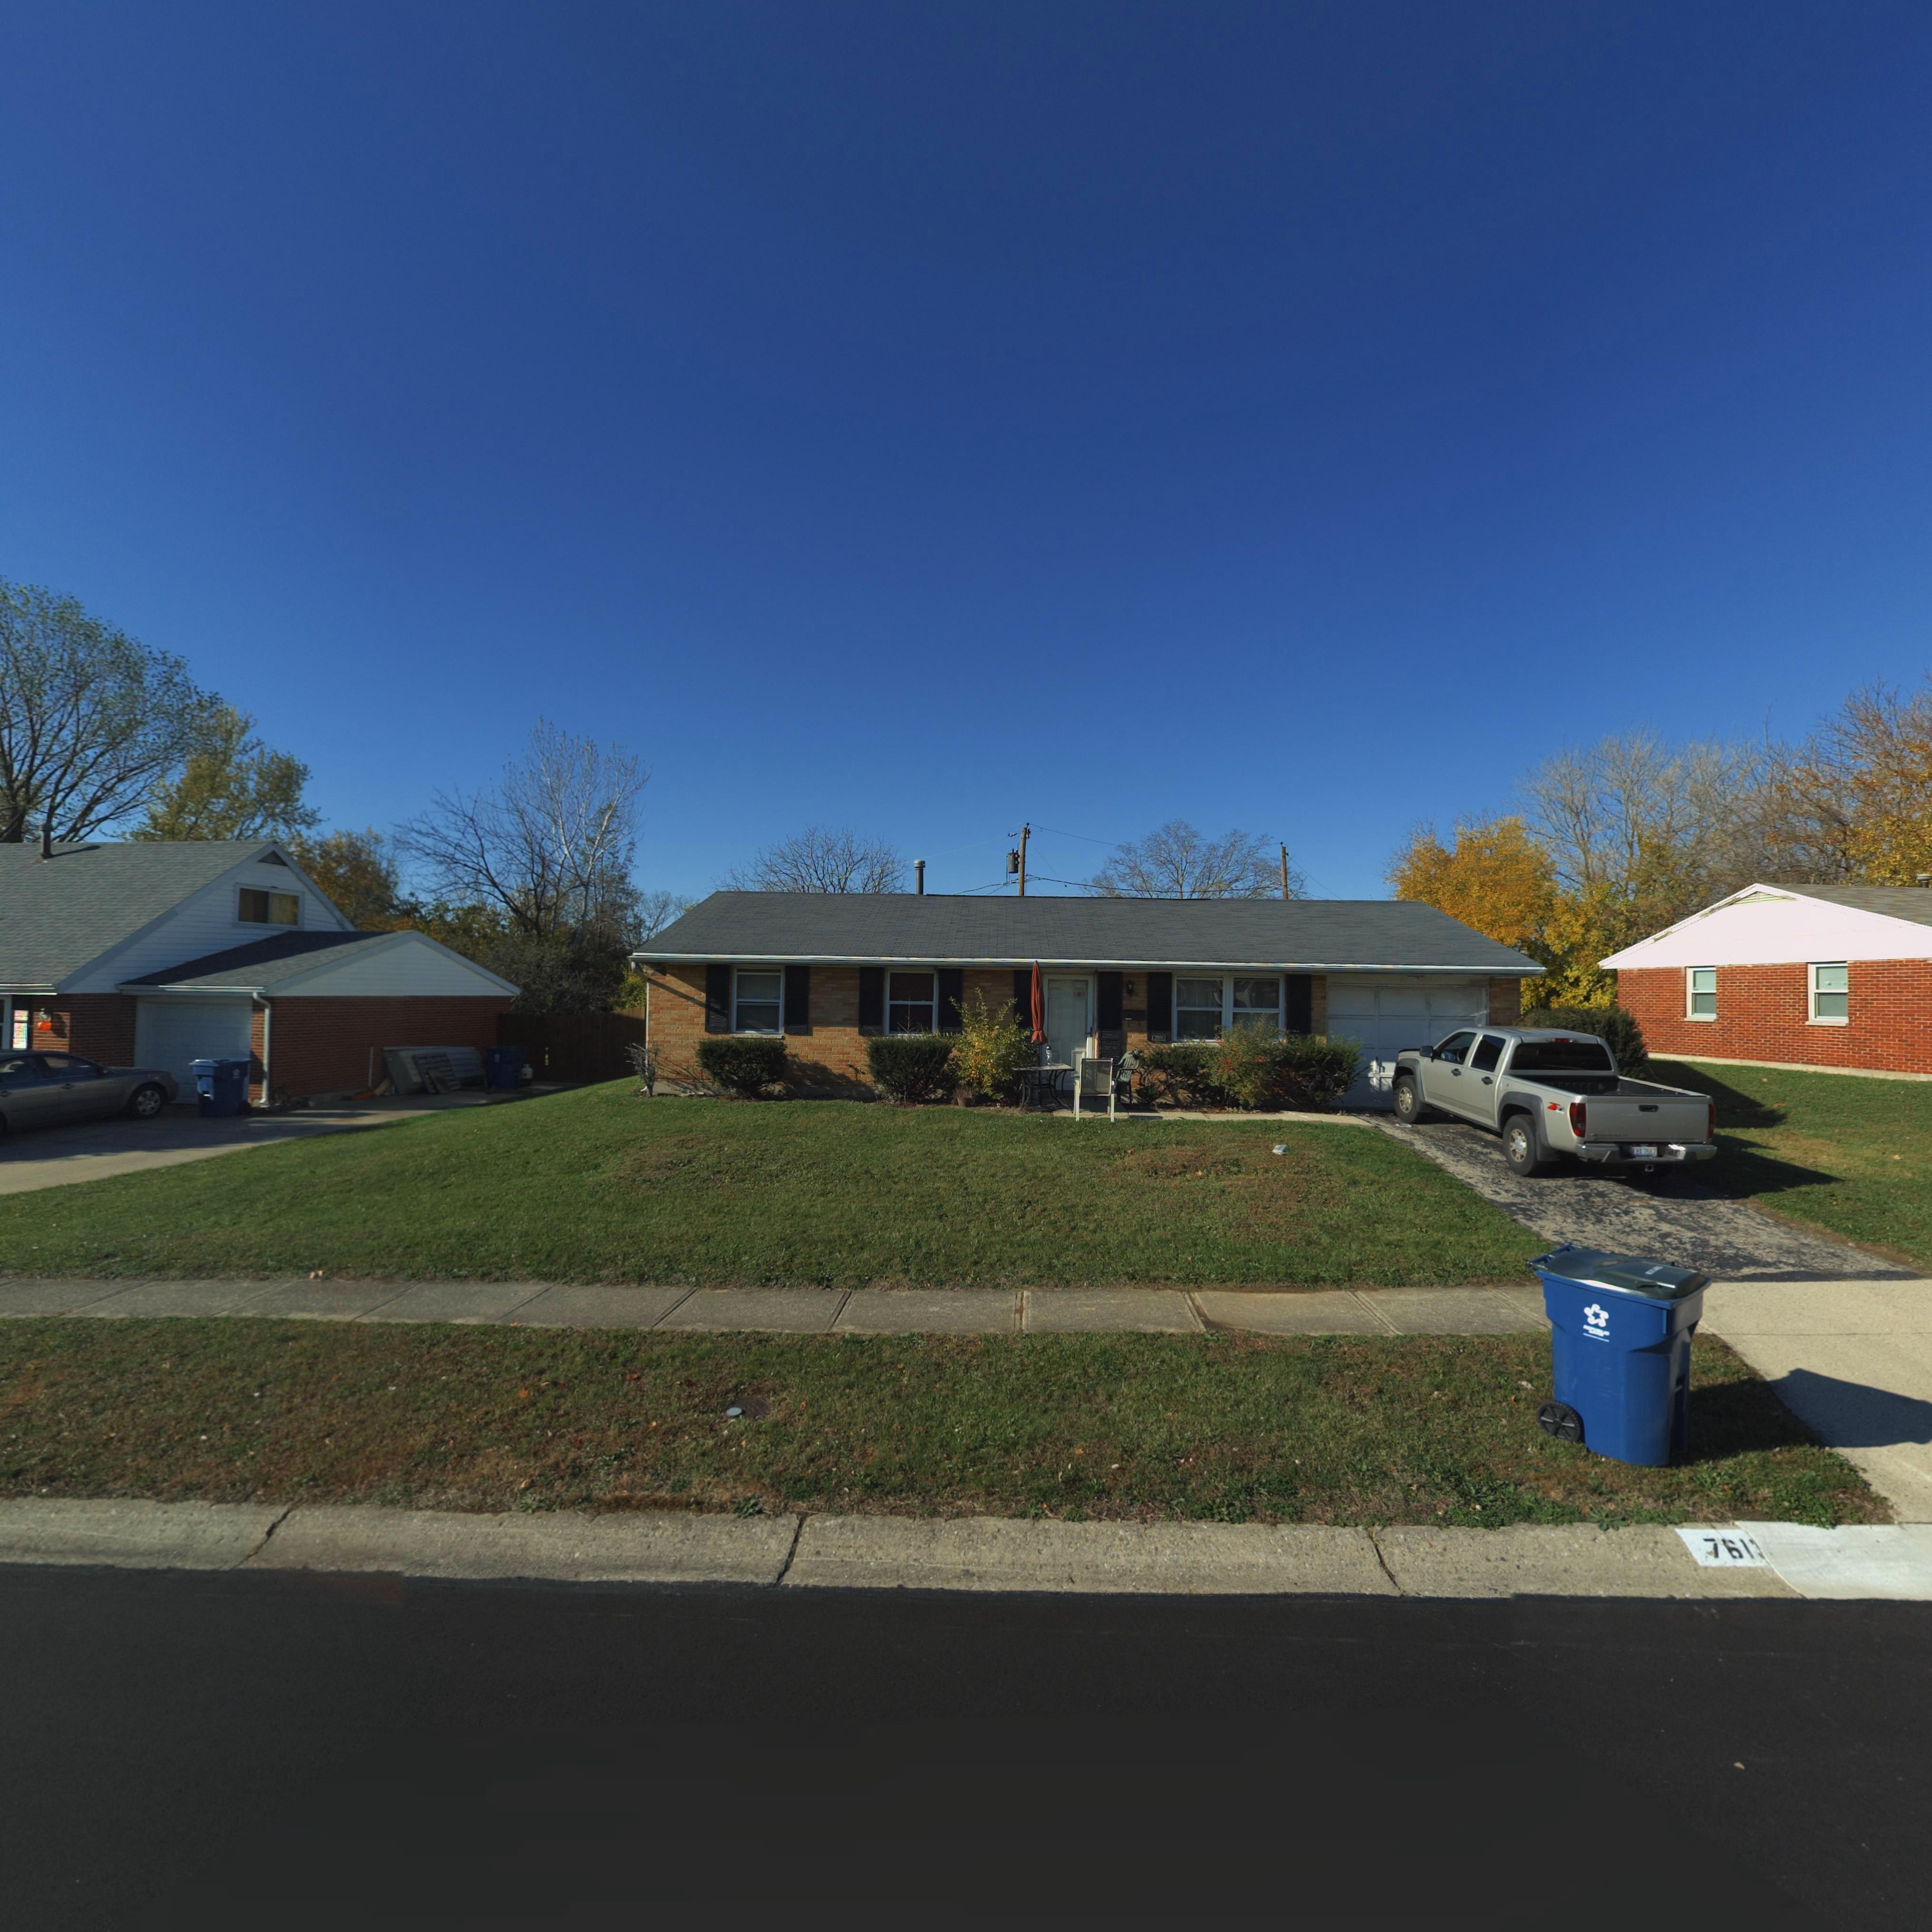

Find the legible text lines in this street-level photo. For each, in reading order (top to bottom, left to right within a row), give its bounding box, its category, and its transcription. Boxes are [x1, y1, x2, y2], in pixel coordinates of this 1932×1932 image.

[1701, 1536, 1758, 1561] StreetNumber: 761